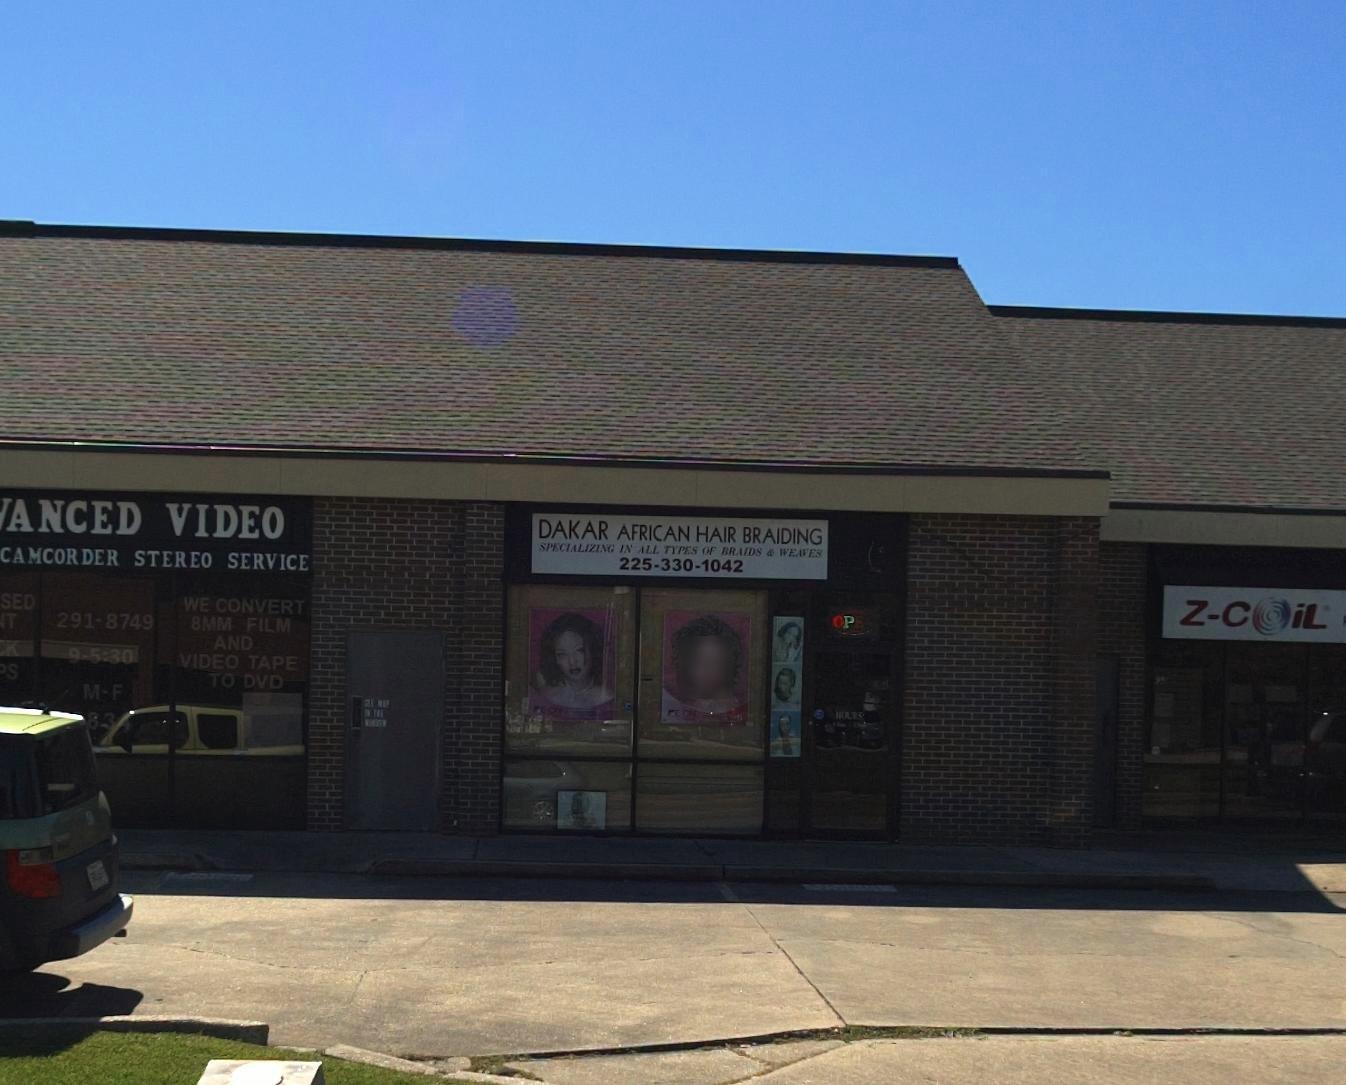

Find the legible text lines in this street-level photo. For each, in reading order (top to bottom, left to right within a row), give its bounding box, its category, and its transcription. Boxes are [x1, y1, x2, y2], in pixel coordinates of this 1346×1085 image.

[2, 493, 289, 543] BusinessName: ANCED VIDEO
[536, 517, 825, 549] BusinessName: DAKAR AFRICAN HAIR BRAIDING
[9, 544, 313, 574] None: AMCORDER STEREO SERVICE
[535, 540, 826, 560] None: SPECIALIZING IN ALL TYPES OF BRAIDS & WEAVES
[617, 555, 747, 576] None: 225-330-1042
[4, 611, 20, 632] None: T
[0, 591, 38, 612] None: SED
[54, 609, 157, 633] None: 291-8749
[188, 613, 294, 636] None: 8MM FILM
[180, 595, 309, 617] None: WE CONVERT
[829, 612, 866, 633] None: OPE
[1173, 596, 1332, 632] BusinessName: Z-C*iL
[4, 661, 21, 683] None: S
[5, 636, 22, 660] None: K
[66, 645, 136, 667] None: 9-5:30
[81, 681, 125, 702] None: M-F
[210, 633, 257, 653] None: AND
[176, 651, 300, 673] None: VIDEO TAPE
[206, 670, 288, 692] None: TO DVD
[85, 708, 121, 734] StreetNumber: 83
[680, 707, 699, 720] None: ON